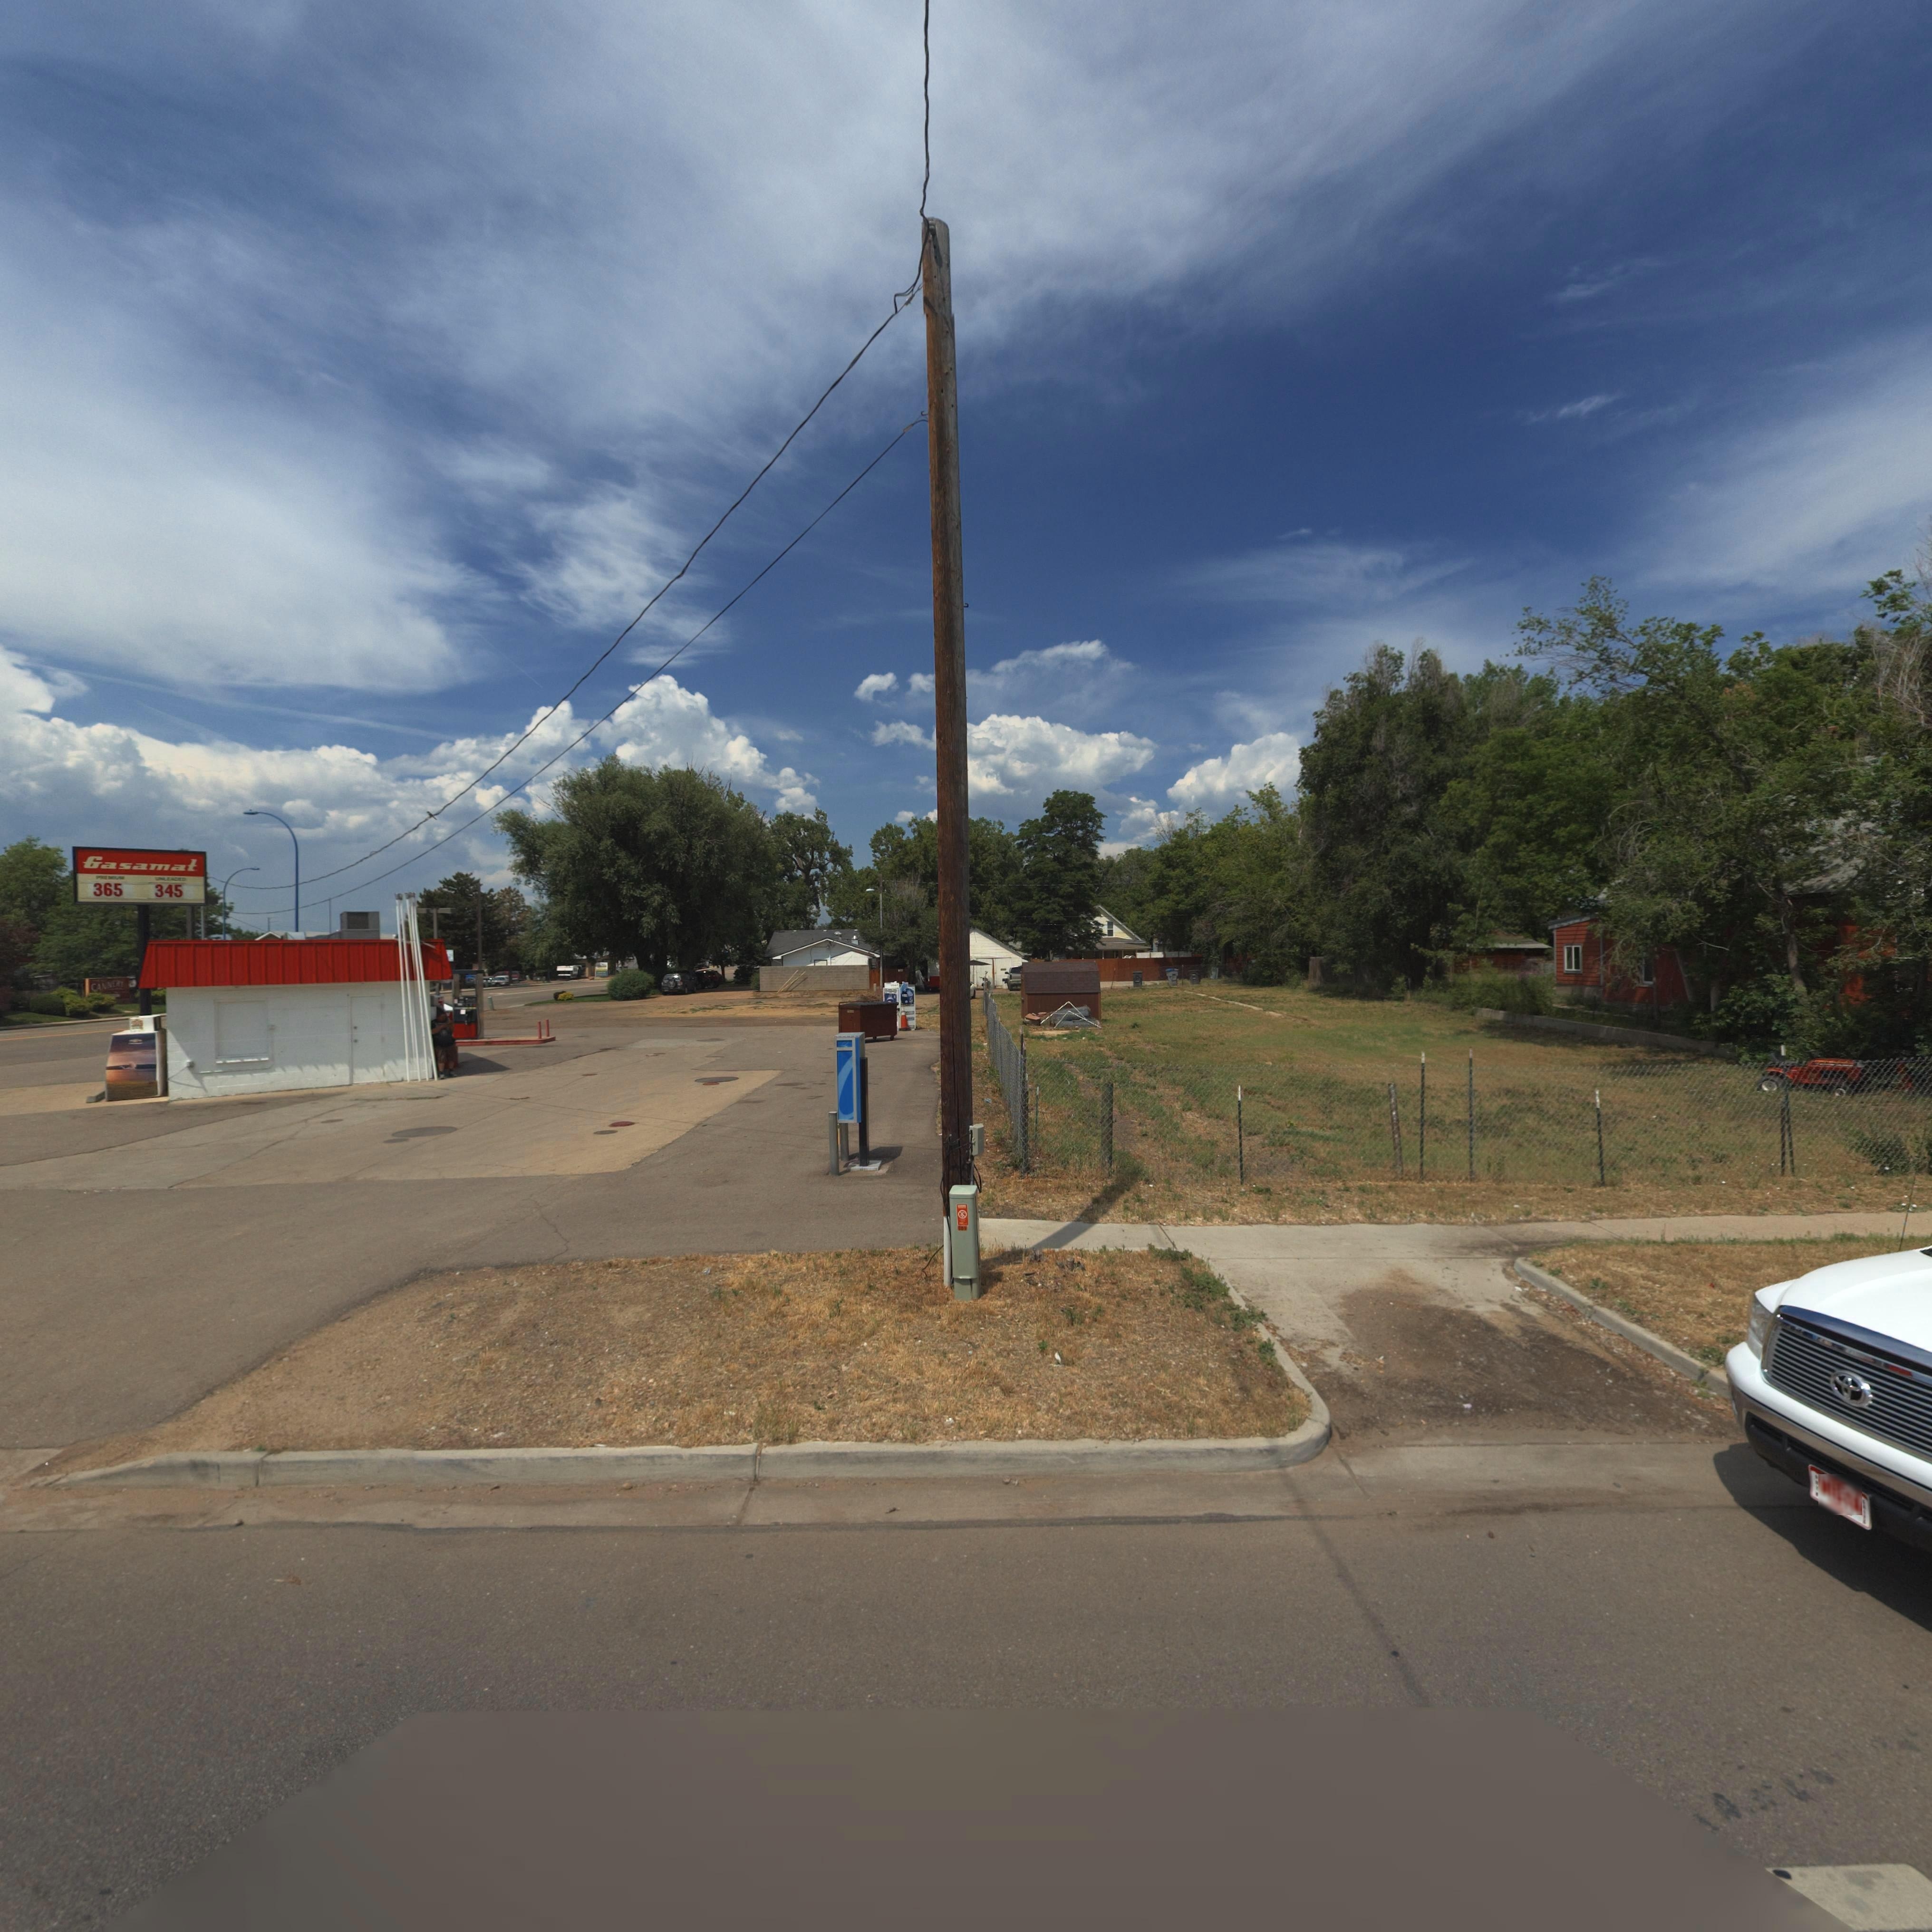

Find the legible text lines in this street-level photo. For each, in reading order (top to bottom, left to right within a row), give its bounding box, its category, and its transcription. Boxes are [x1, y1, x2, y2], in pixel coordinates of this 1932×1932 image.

[83, 855, 198, 871] BusinessName: Gasamat